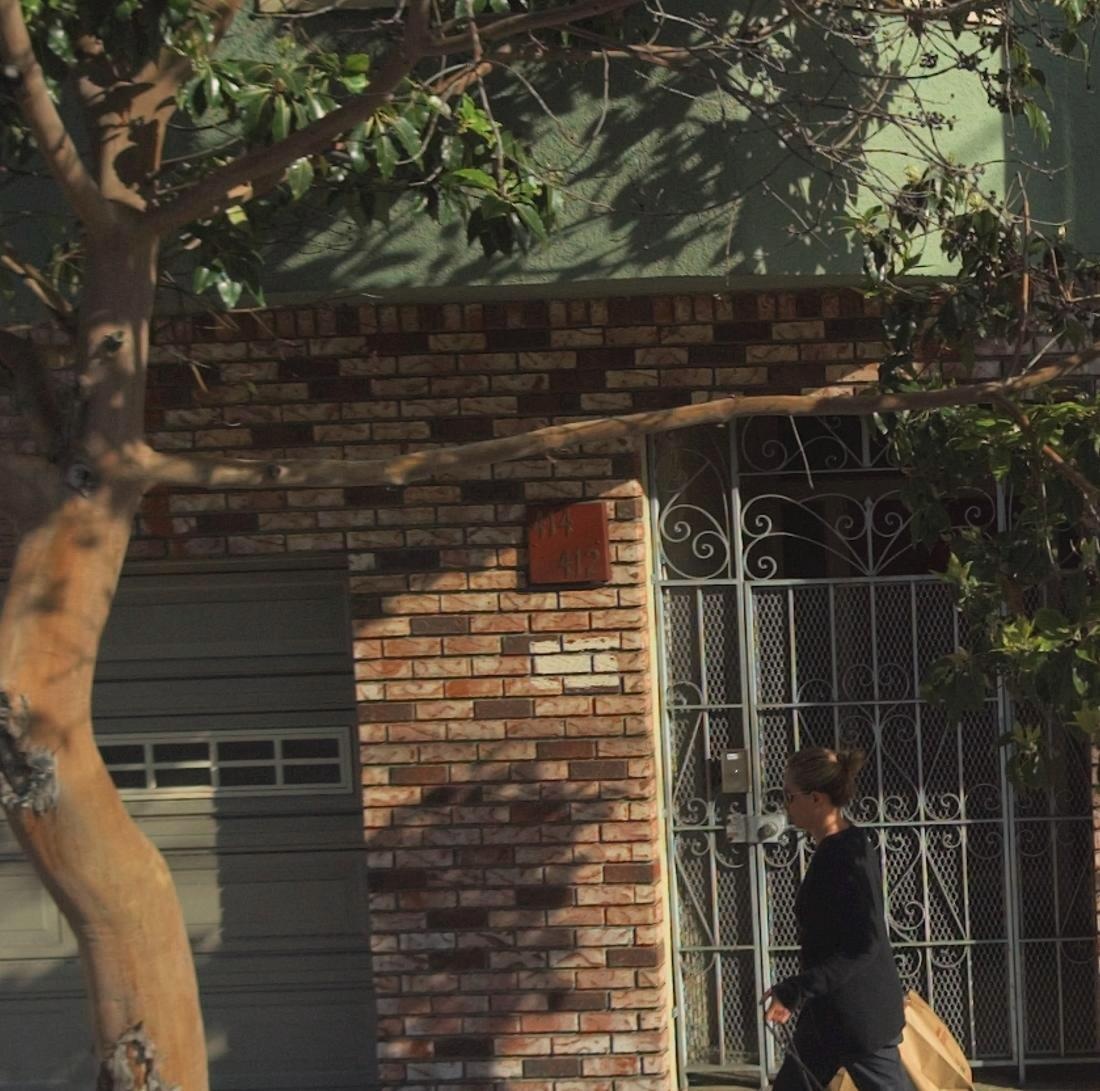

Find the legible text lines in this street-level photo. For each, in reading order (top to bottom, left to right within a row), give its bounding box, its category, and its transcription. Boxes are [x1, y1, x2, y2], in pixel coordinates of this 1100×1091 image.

[528, 508, 574, 542] StreetNumber: 414
[555, 546, 606, 579] StreetNumber: 412